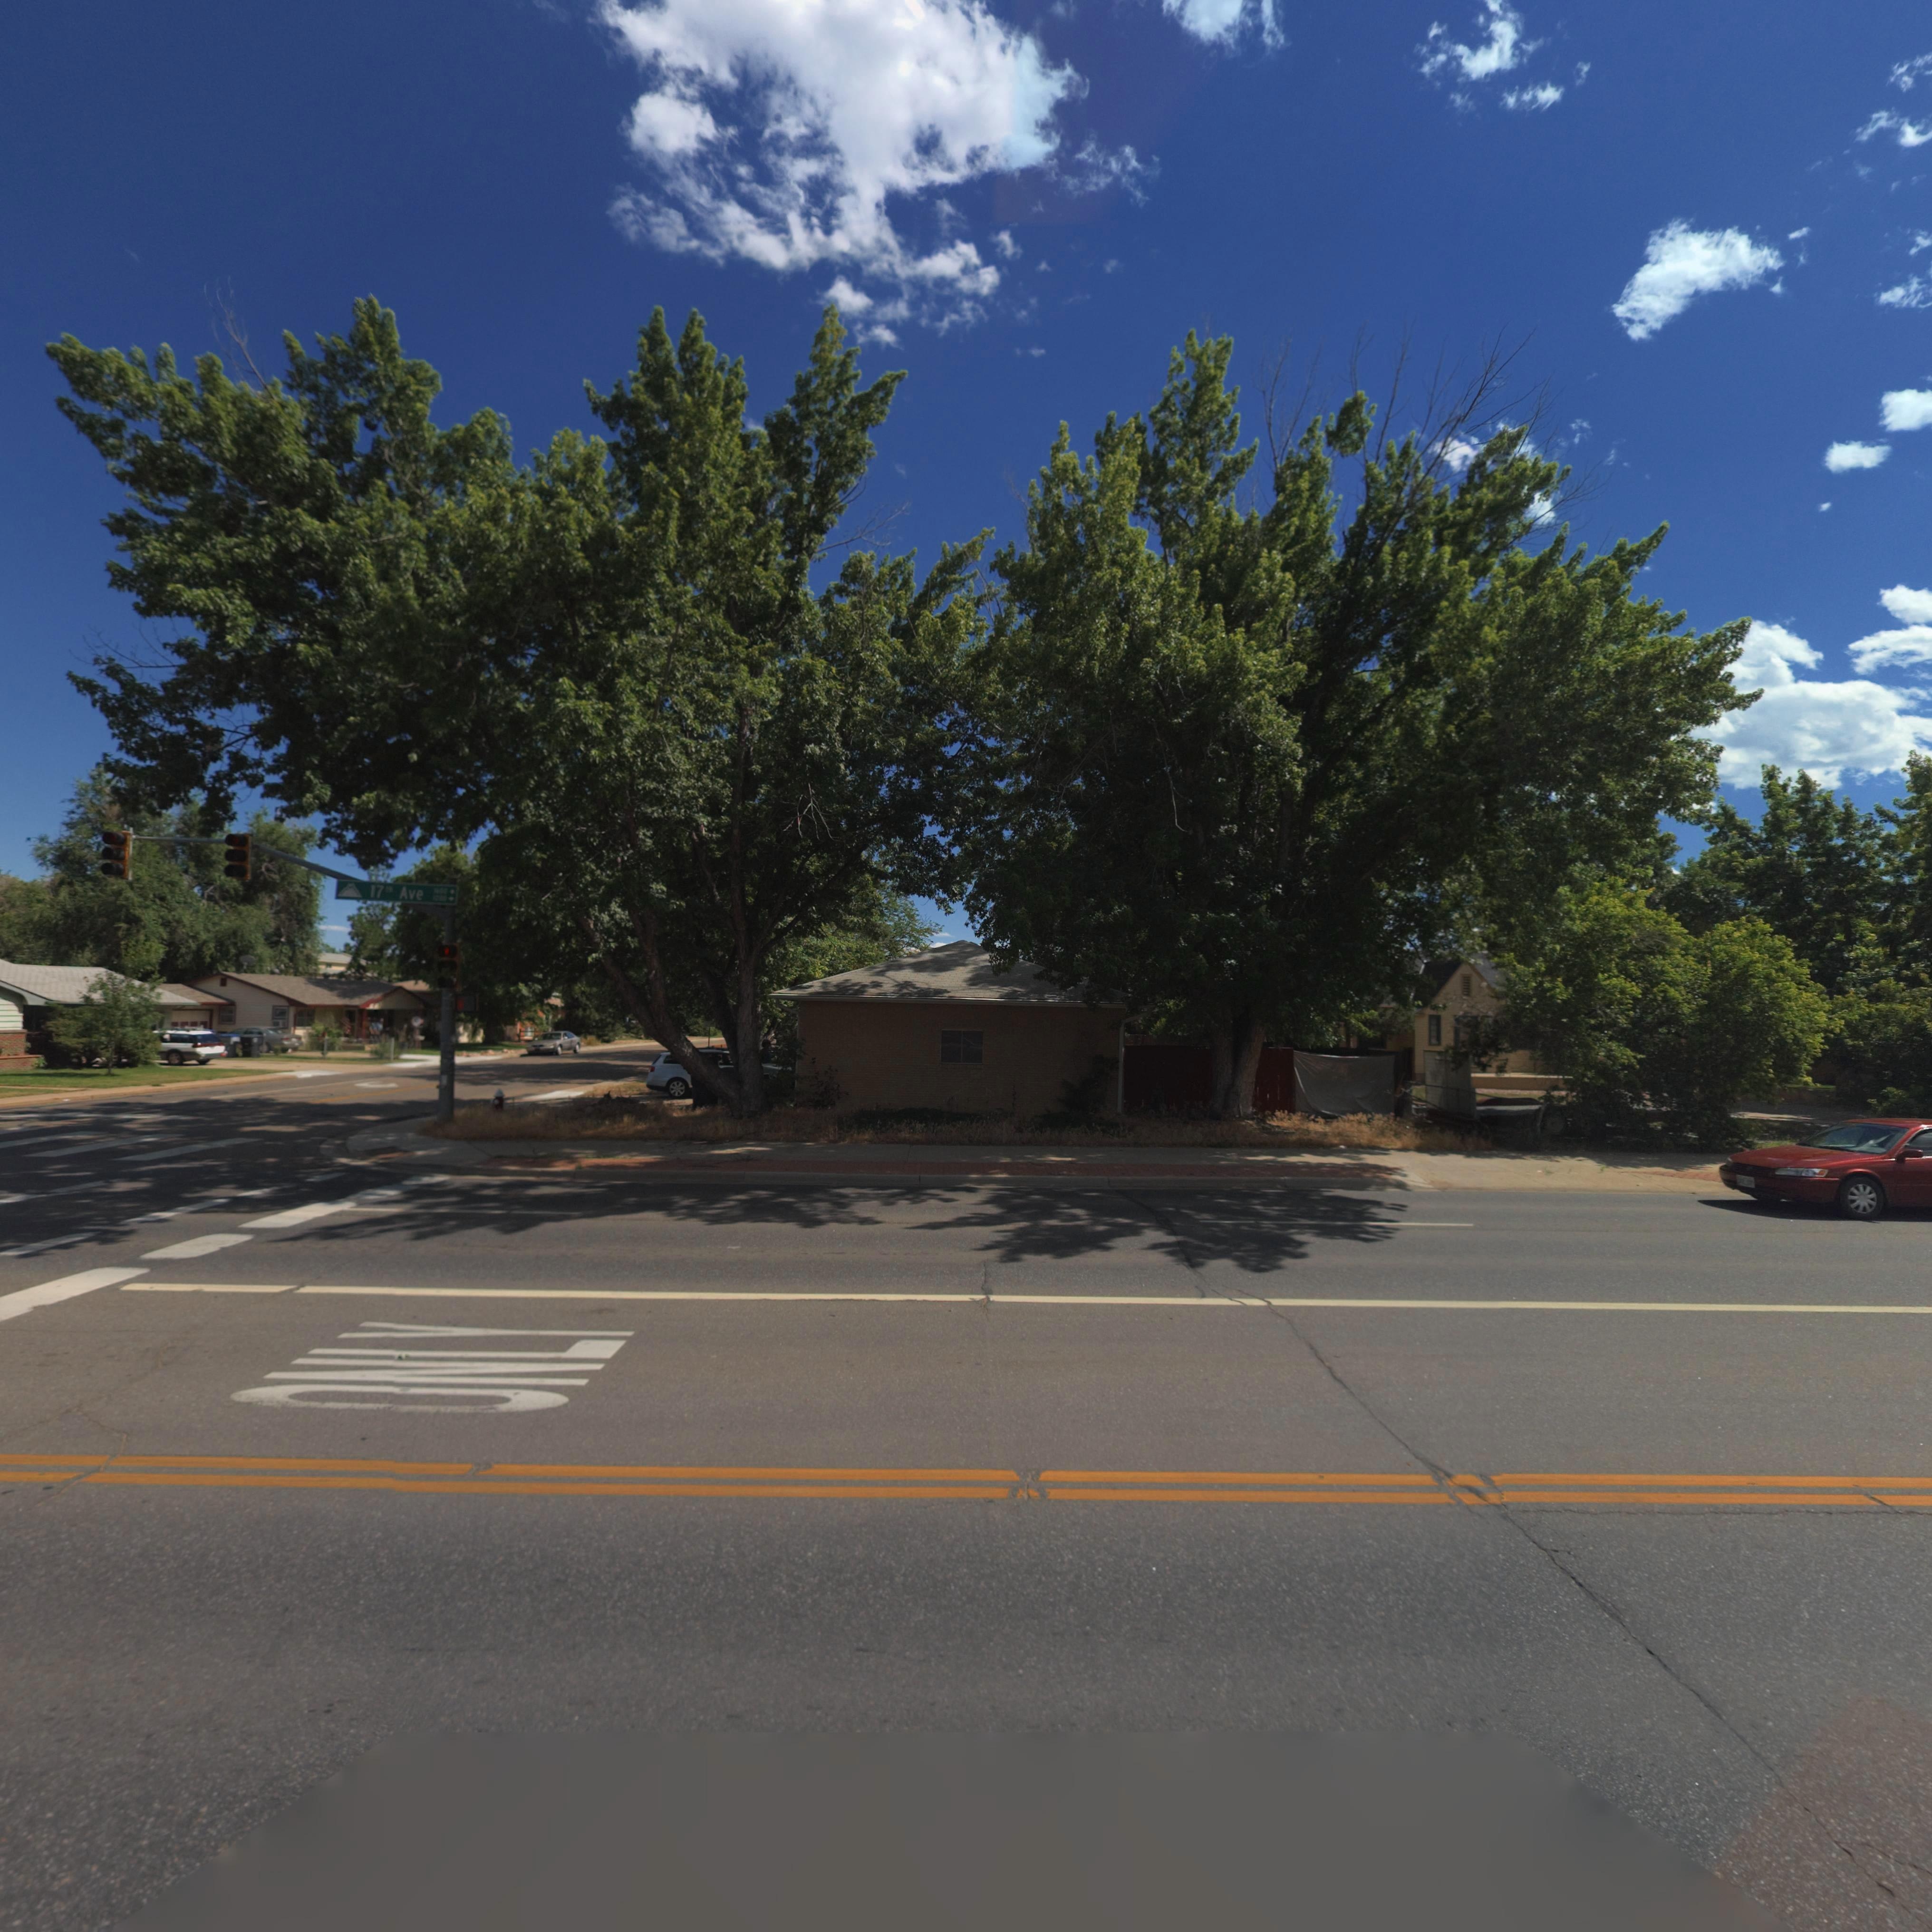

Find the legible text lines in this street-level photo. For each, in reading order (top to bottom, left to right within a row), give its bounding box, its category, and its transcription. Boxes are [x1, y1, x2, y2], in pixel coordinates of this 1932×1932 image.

[369, 884, 424, 900] StreetName: 17th Ave
[433, 887, 448, 895] StreetNumberRange: 1600
[432, 895, 455, 902] StreetNumberRange: 1200 ->